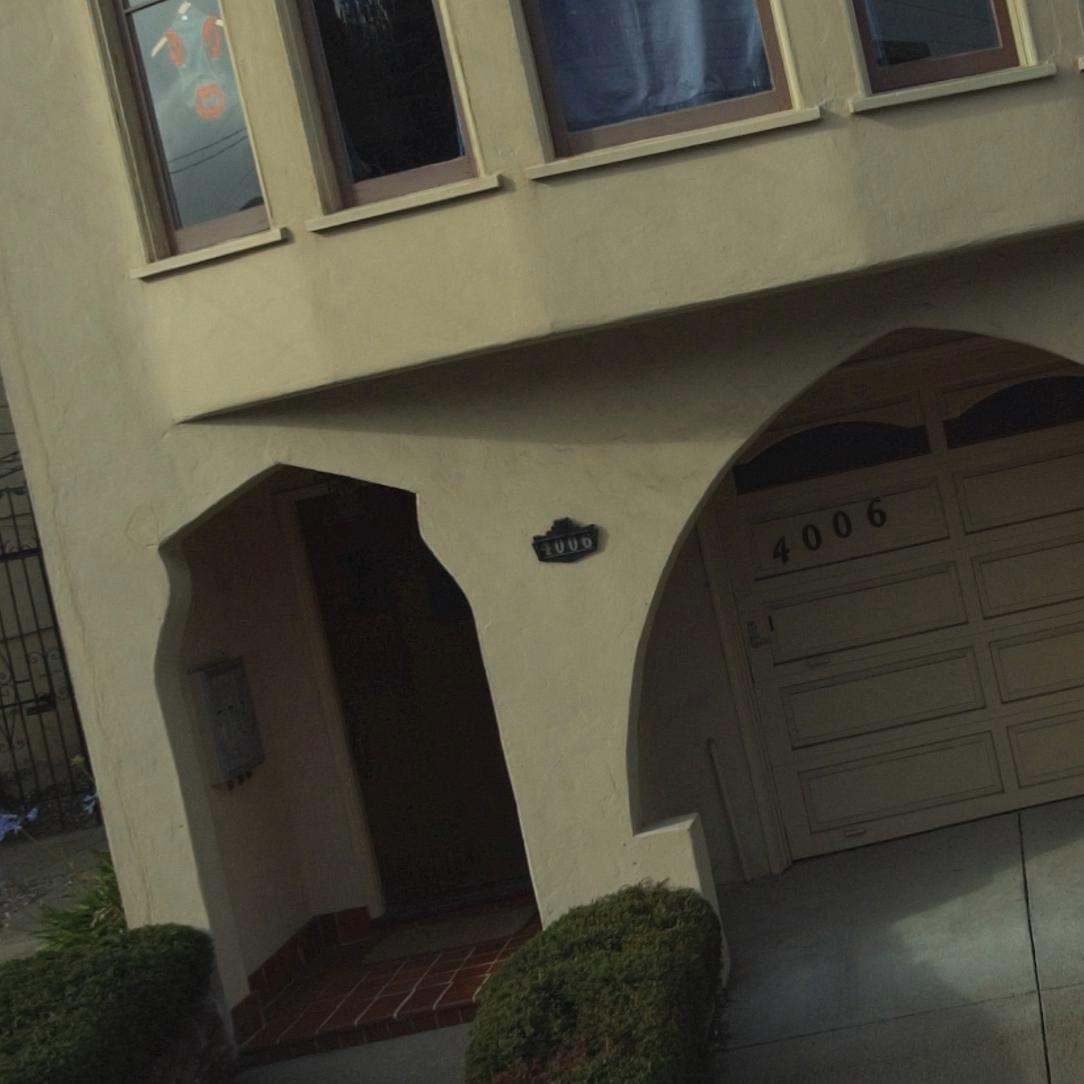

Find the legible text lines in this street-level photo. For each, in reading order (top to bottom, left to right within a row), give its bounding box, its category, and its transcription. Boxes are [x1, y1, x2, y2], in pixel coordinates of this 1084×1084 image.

[539, 531, 595, 558] StreetNumber: 4006
[769, 496, 891, 570] StreetNumber: 4006